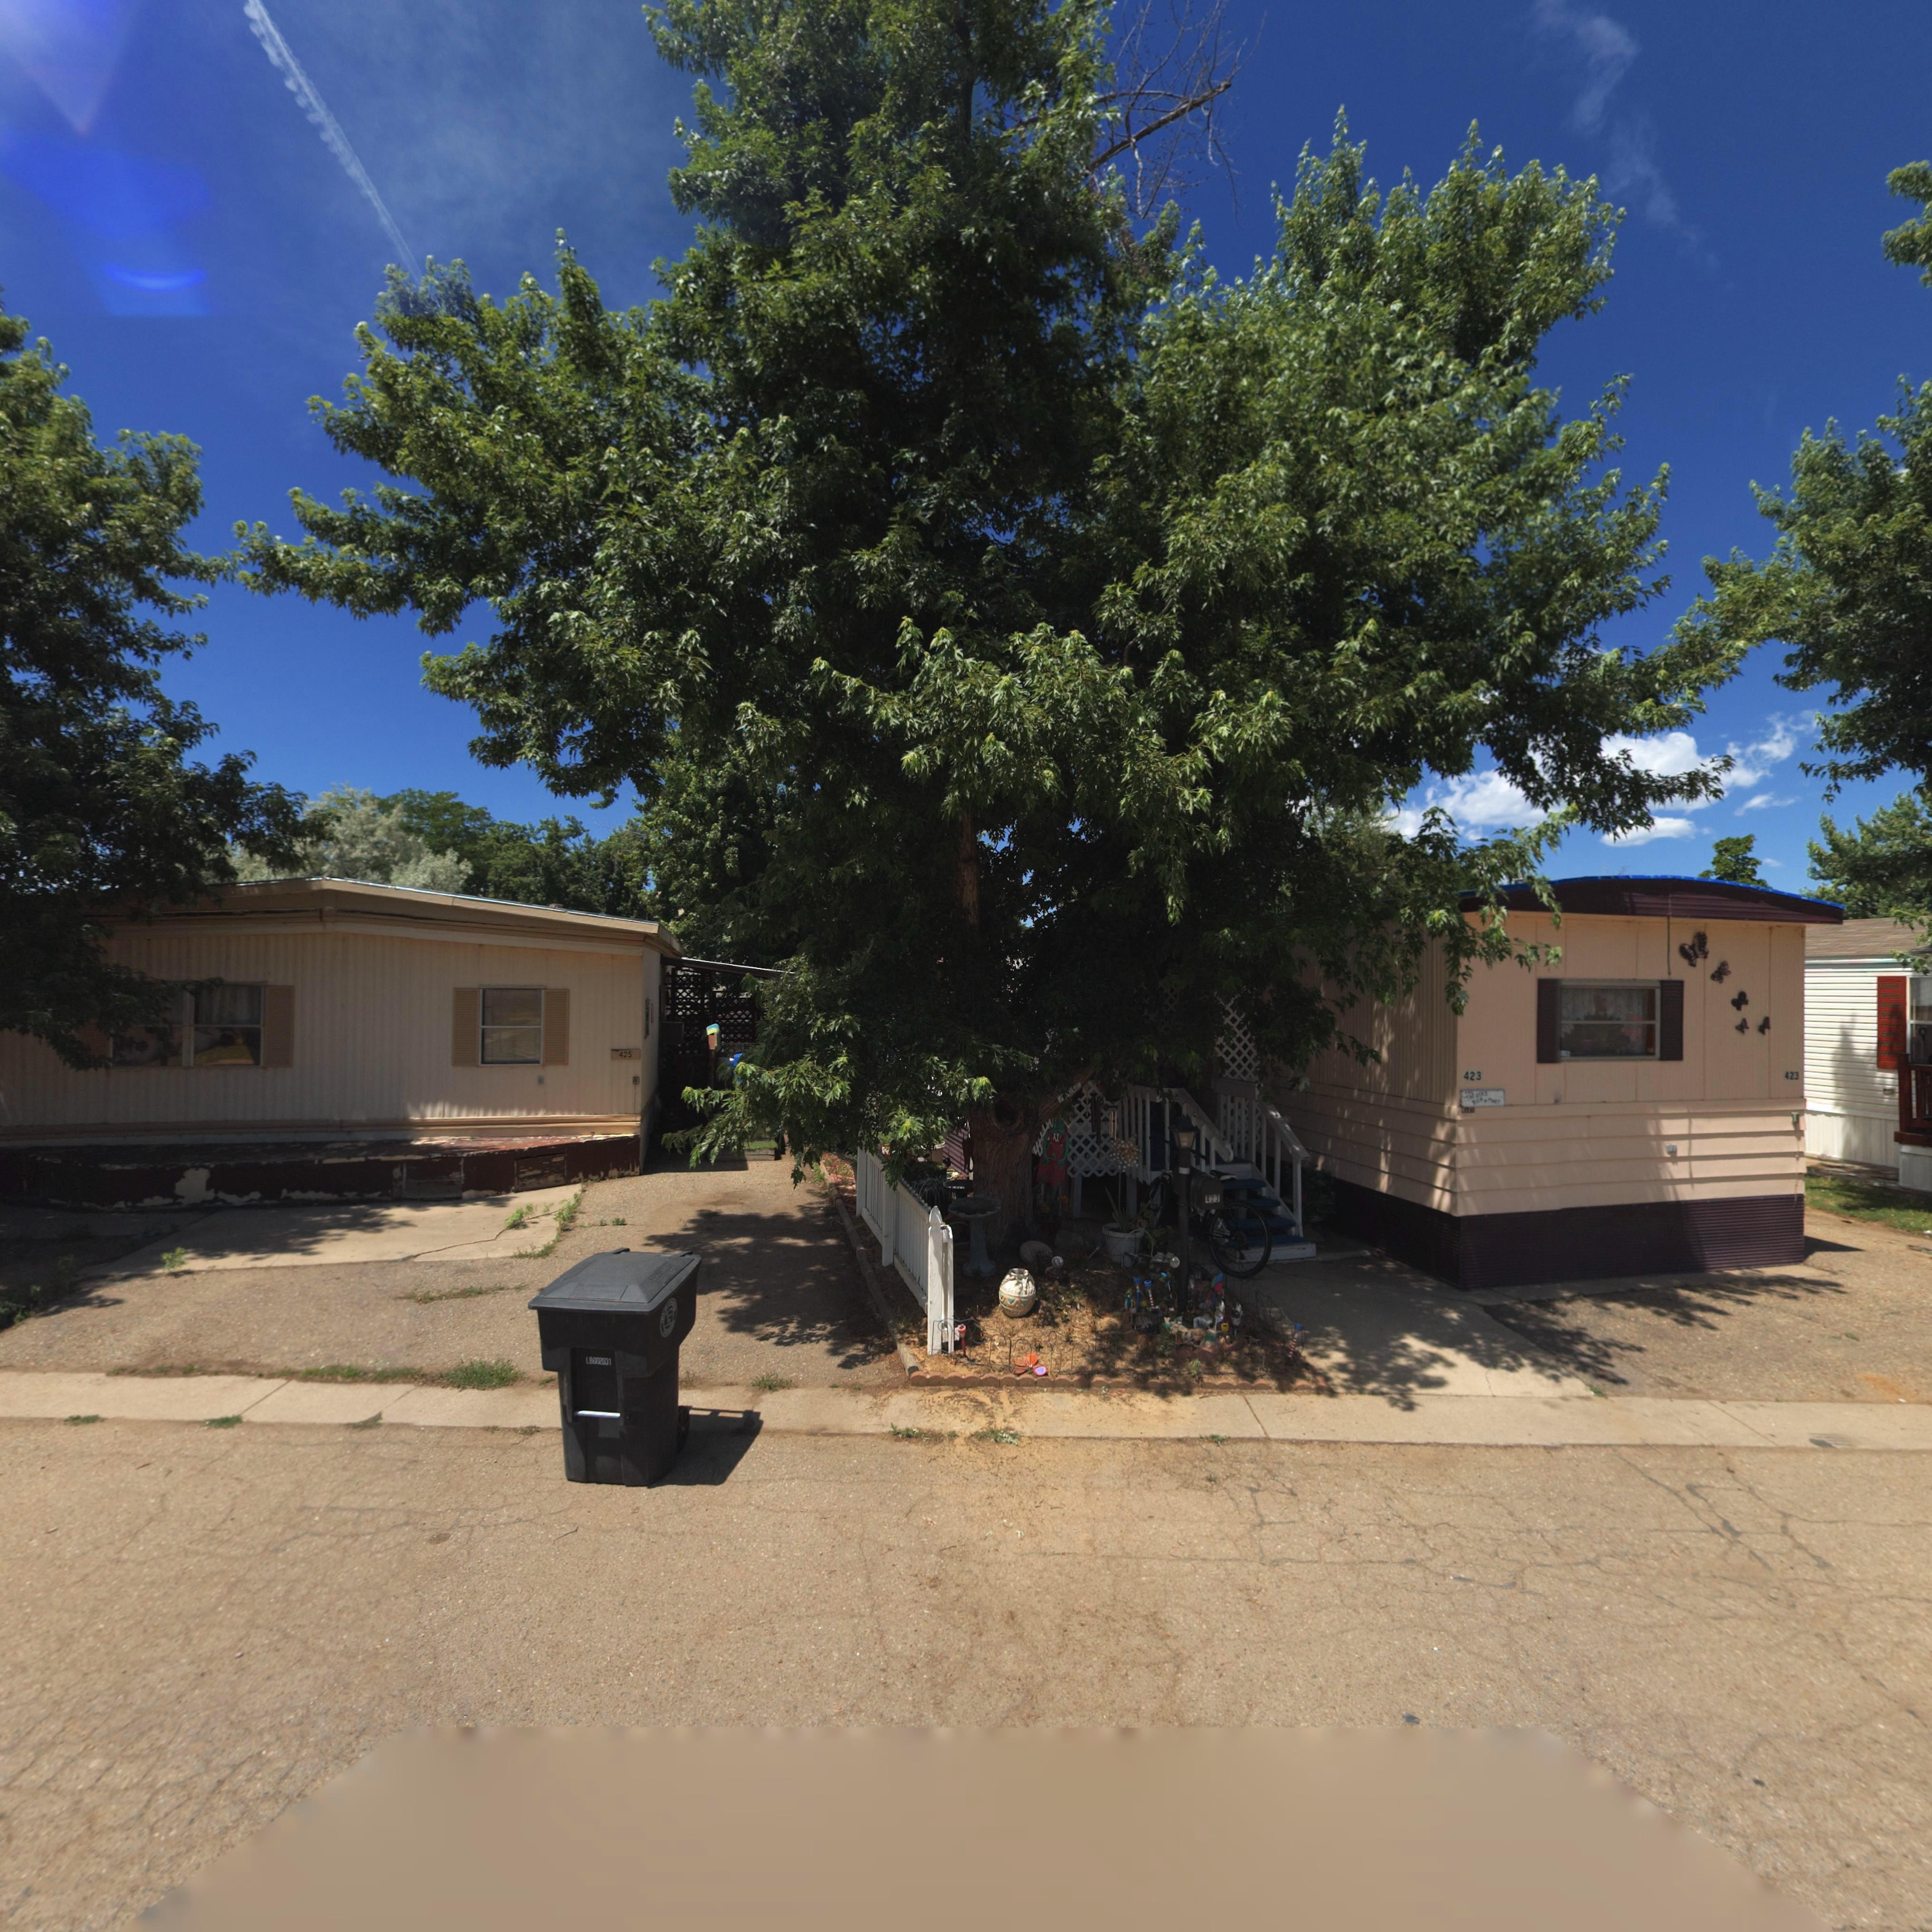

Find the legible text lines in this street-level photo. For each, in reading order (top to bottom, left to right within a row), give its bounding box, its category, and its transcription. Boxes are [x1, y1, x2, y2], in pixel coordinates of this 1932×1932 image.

[618, 1051, 631, 1058] StreetNumber: 425
[1463, 1071, 1481, 1080] StreetNumber: 423
[1784, 1071, 1799, 1079] StreetNumber: 423
[1206, 1193, 1219, 1202] StreetNumber: 423